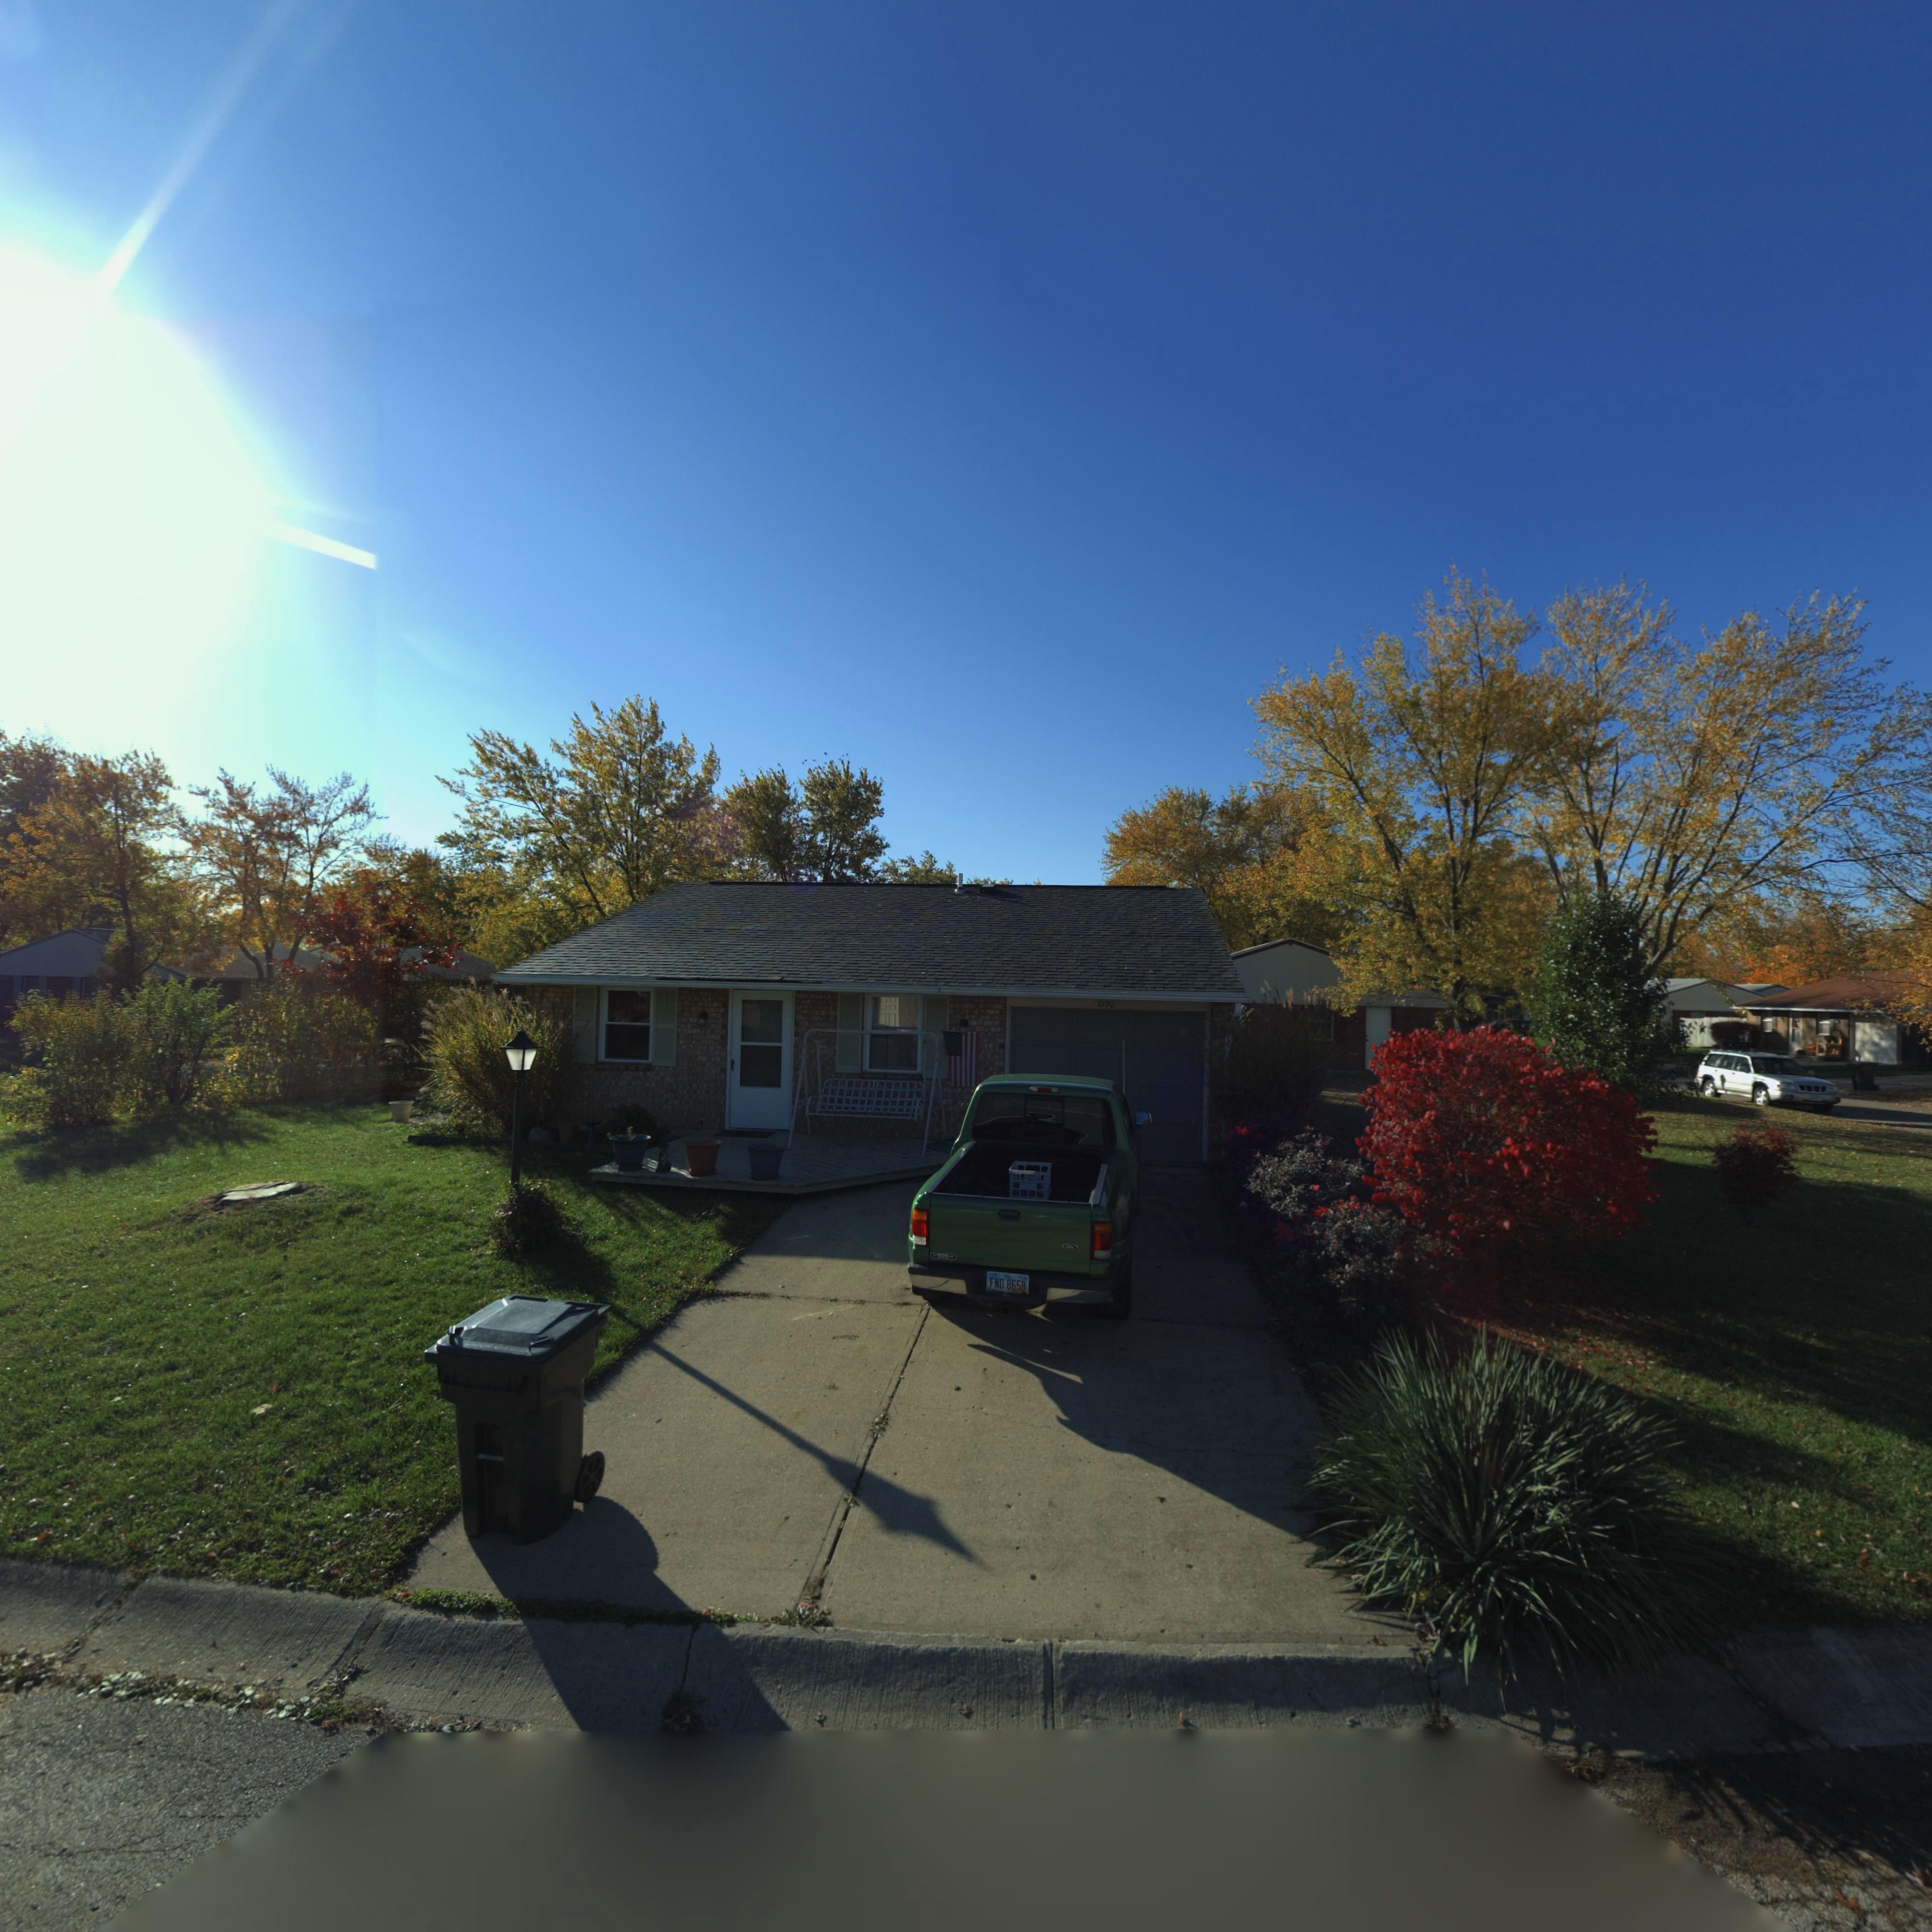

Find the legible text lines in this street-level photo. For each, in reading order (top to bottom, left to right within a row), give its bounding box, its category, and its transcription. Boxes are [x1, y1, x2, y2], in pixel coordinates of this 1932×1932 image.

[1097, 1000, 1115, 1008] StreetNumber: 8190